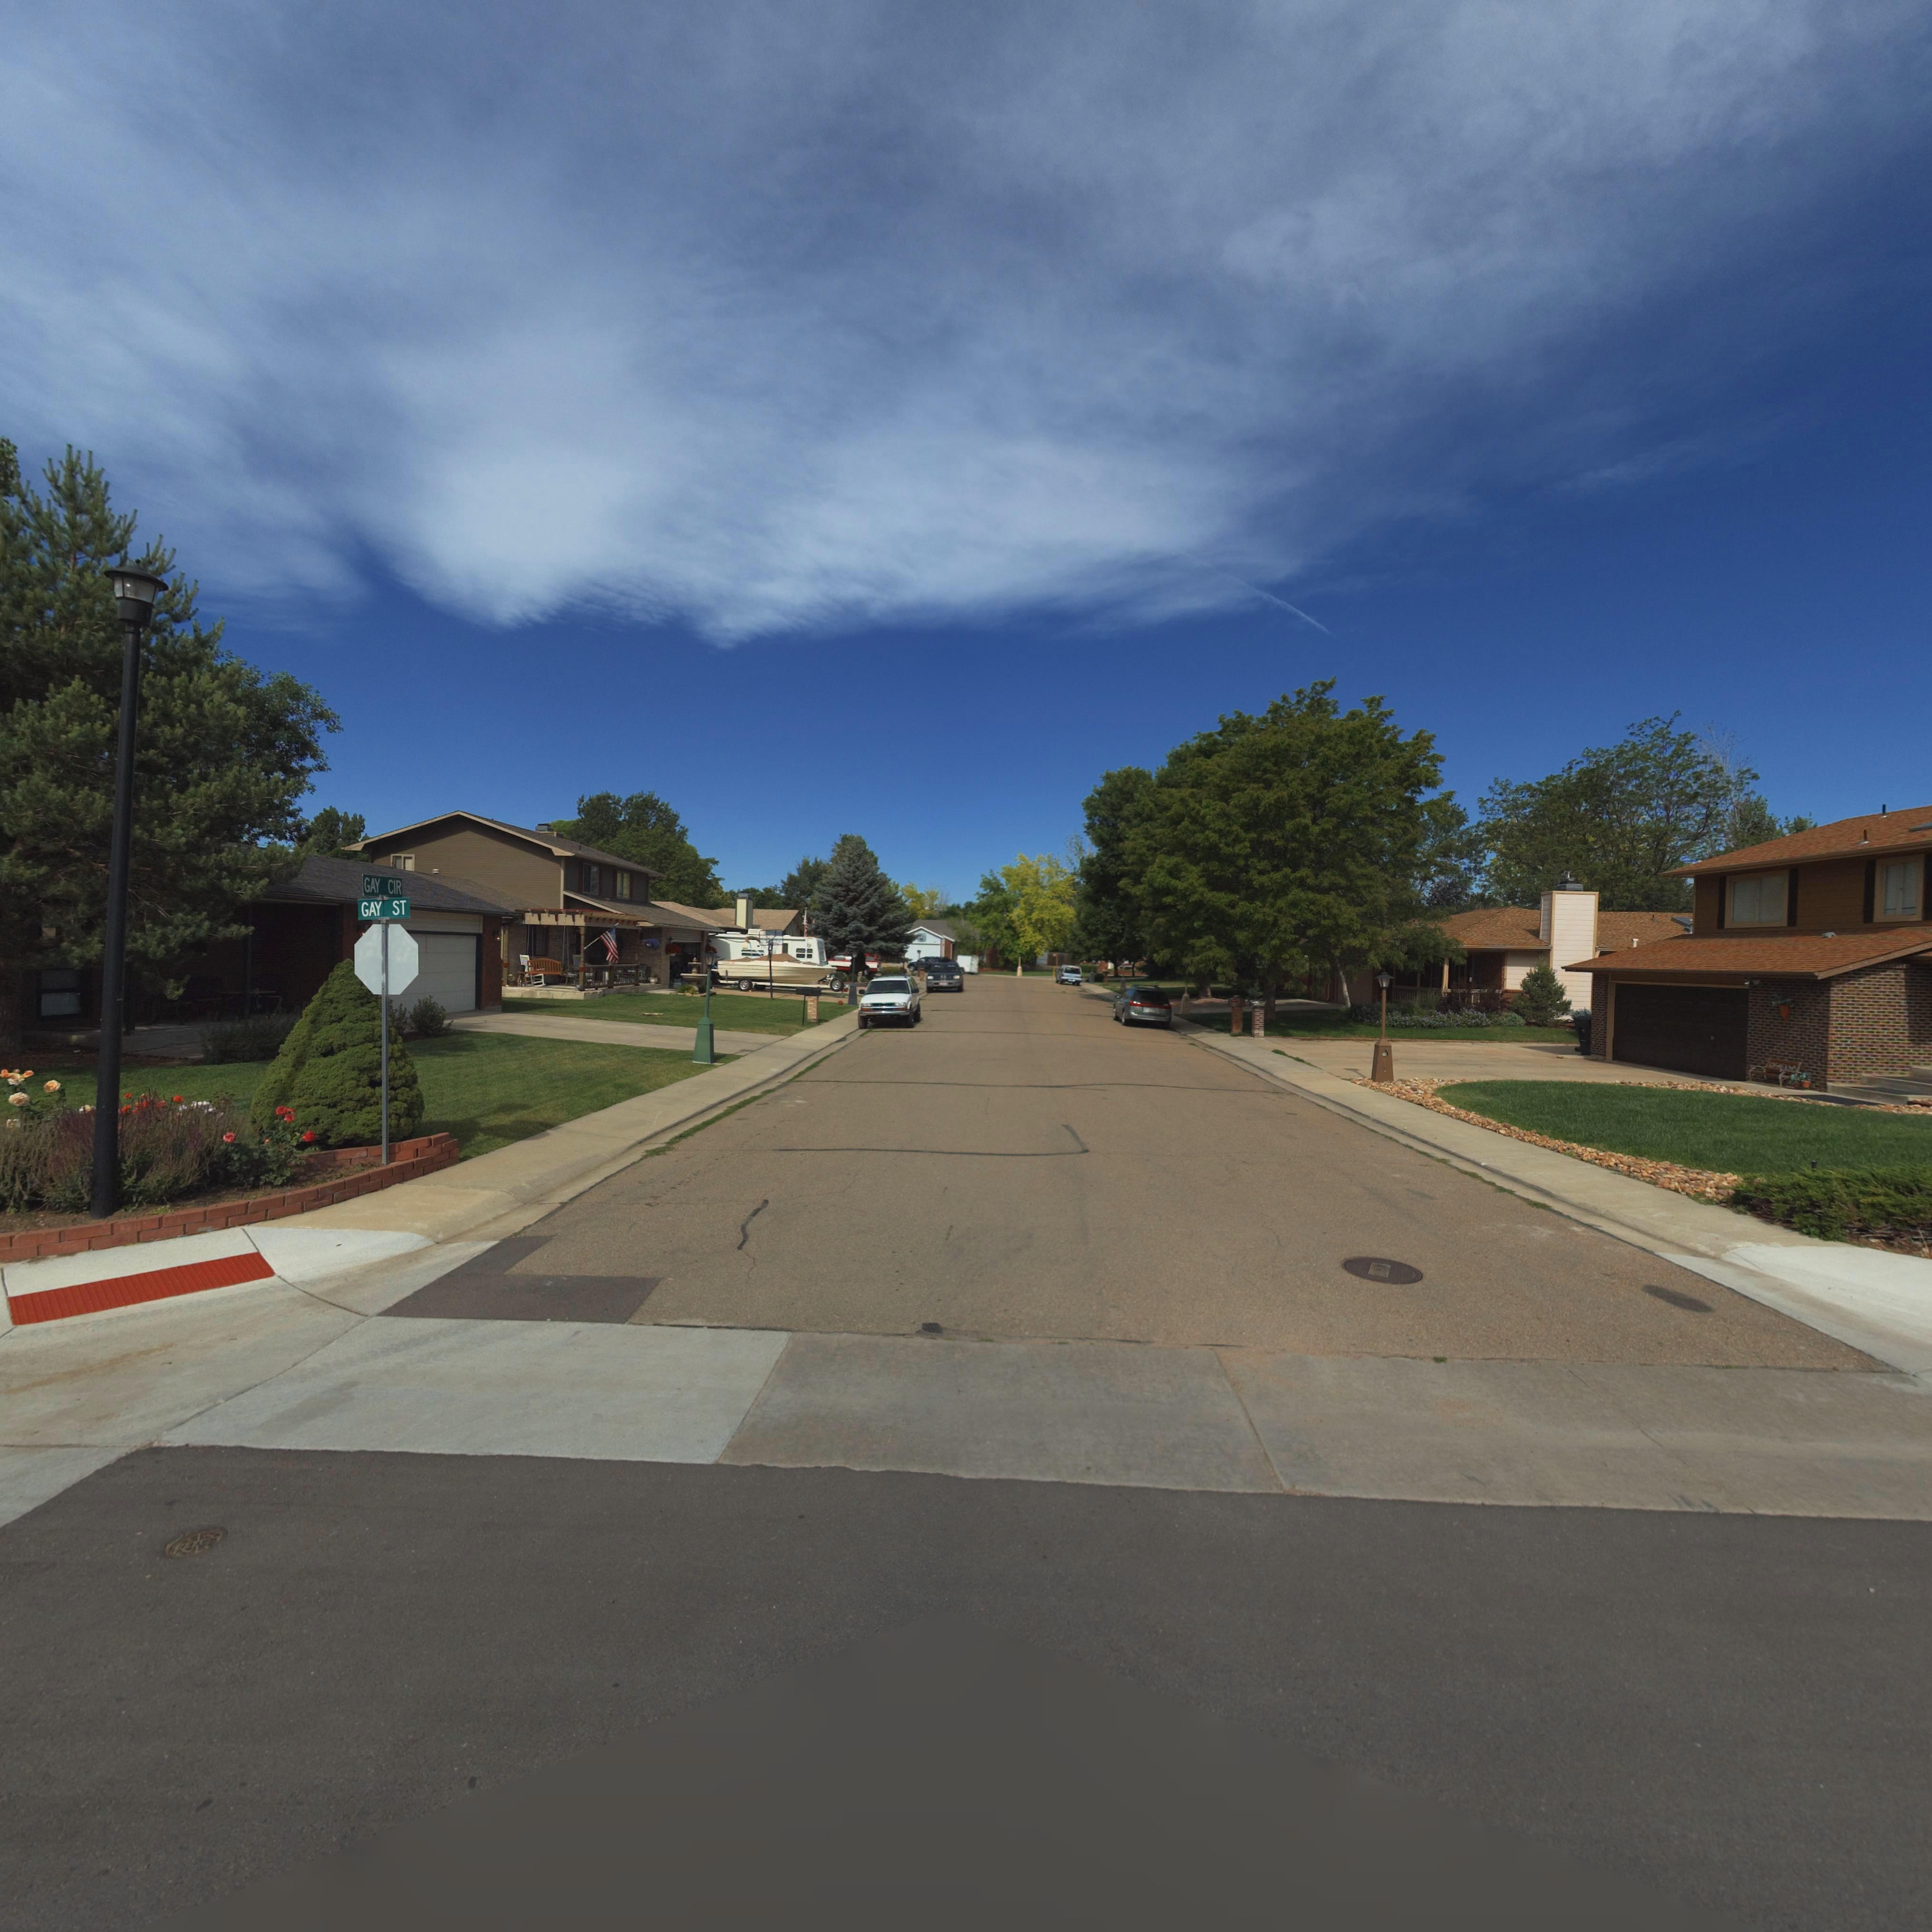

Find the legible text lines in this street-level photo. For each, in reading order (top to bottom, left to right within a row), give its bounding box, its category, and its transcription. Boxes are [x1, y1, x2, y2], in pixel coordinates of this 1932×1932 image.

[364, 877, 402, 895] StreetName: GAY CIR
[360, 899, 407, 918] StreetName: GAY ST